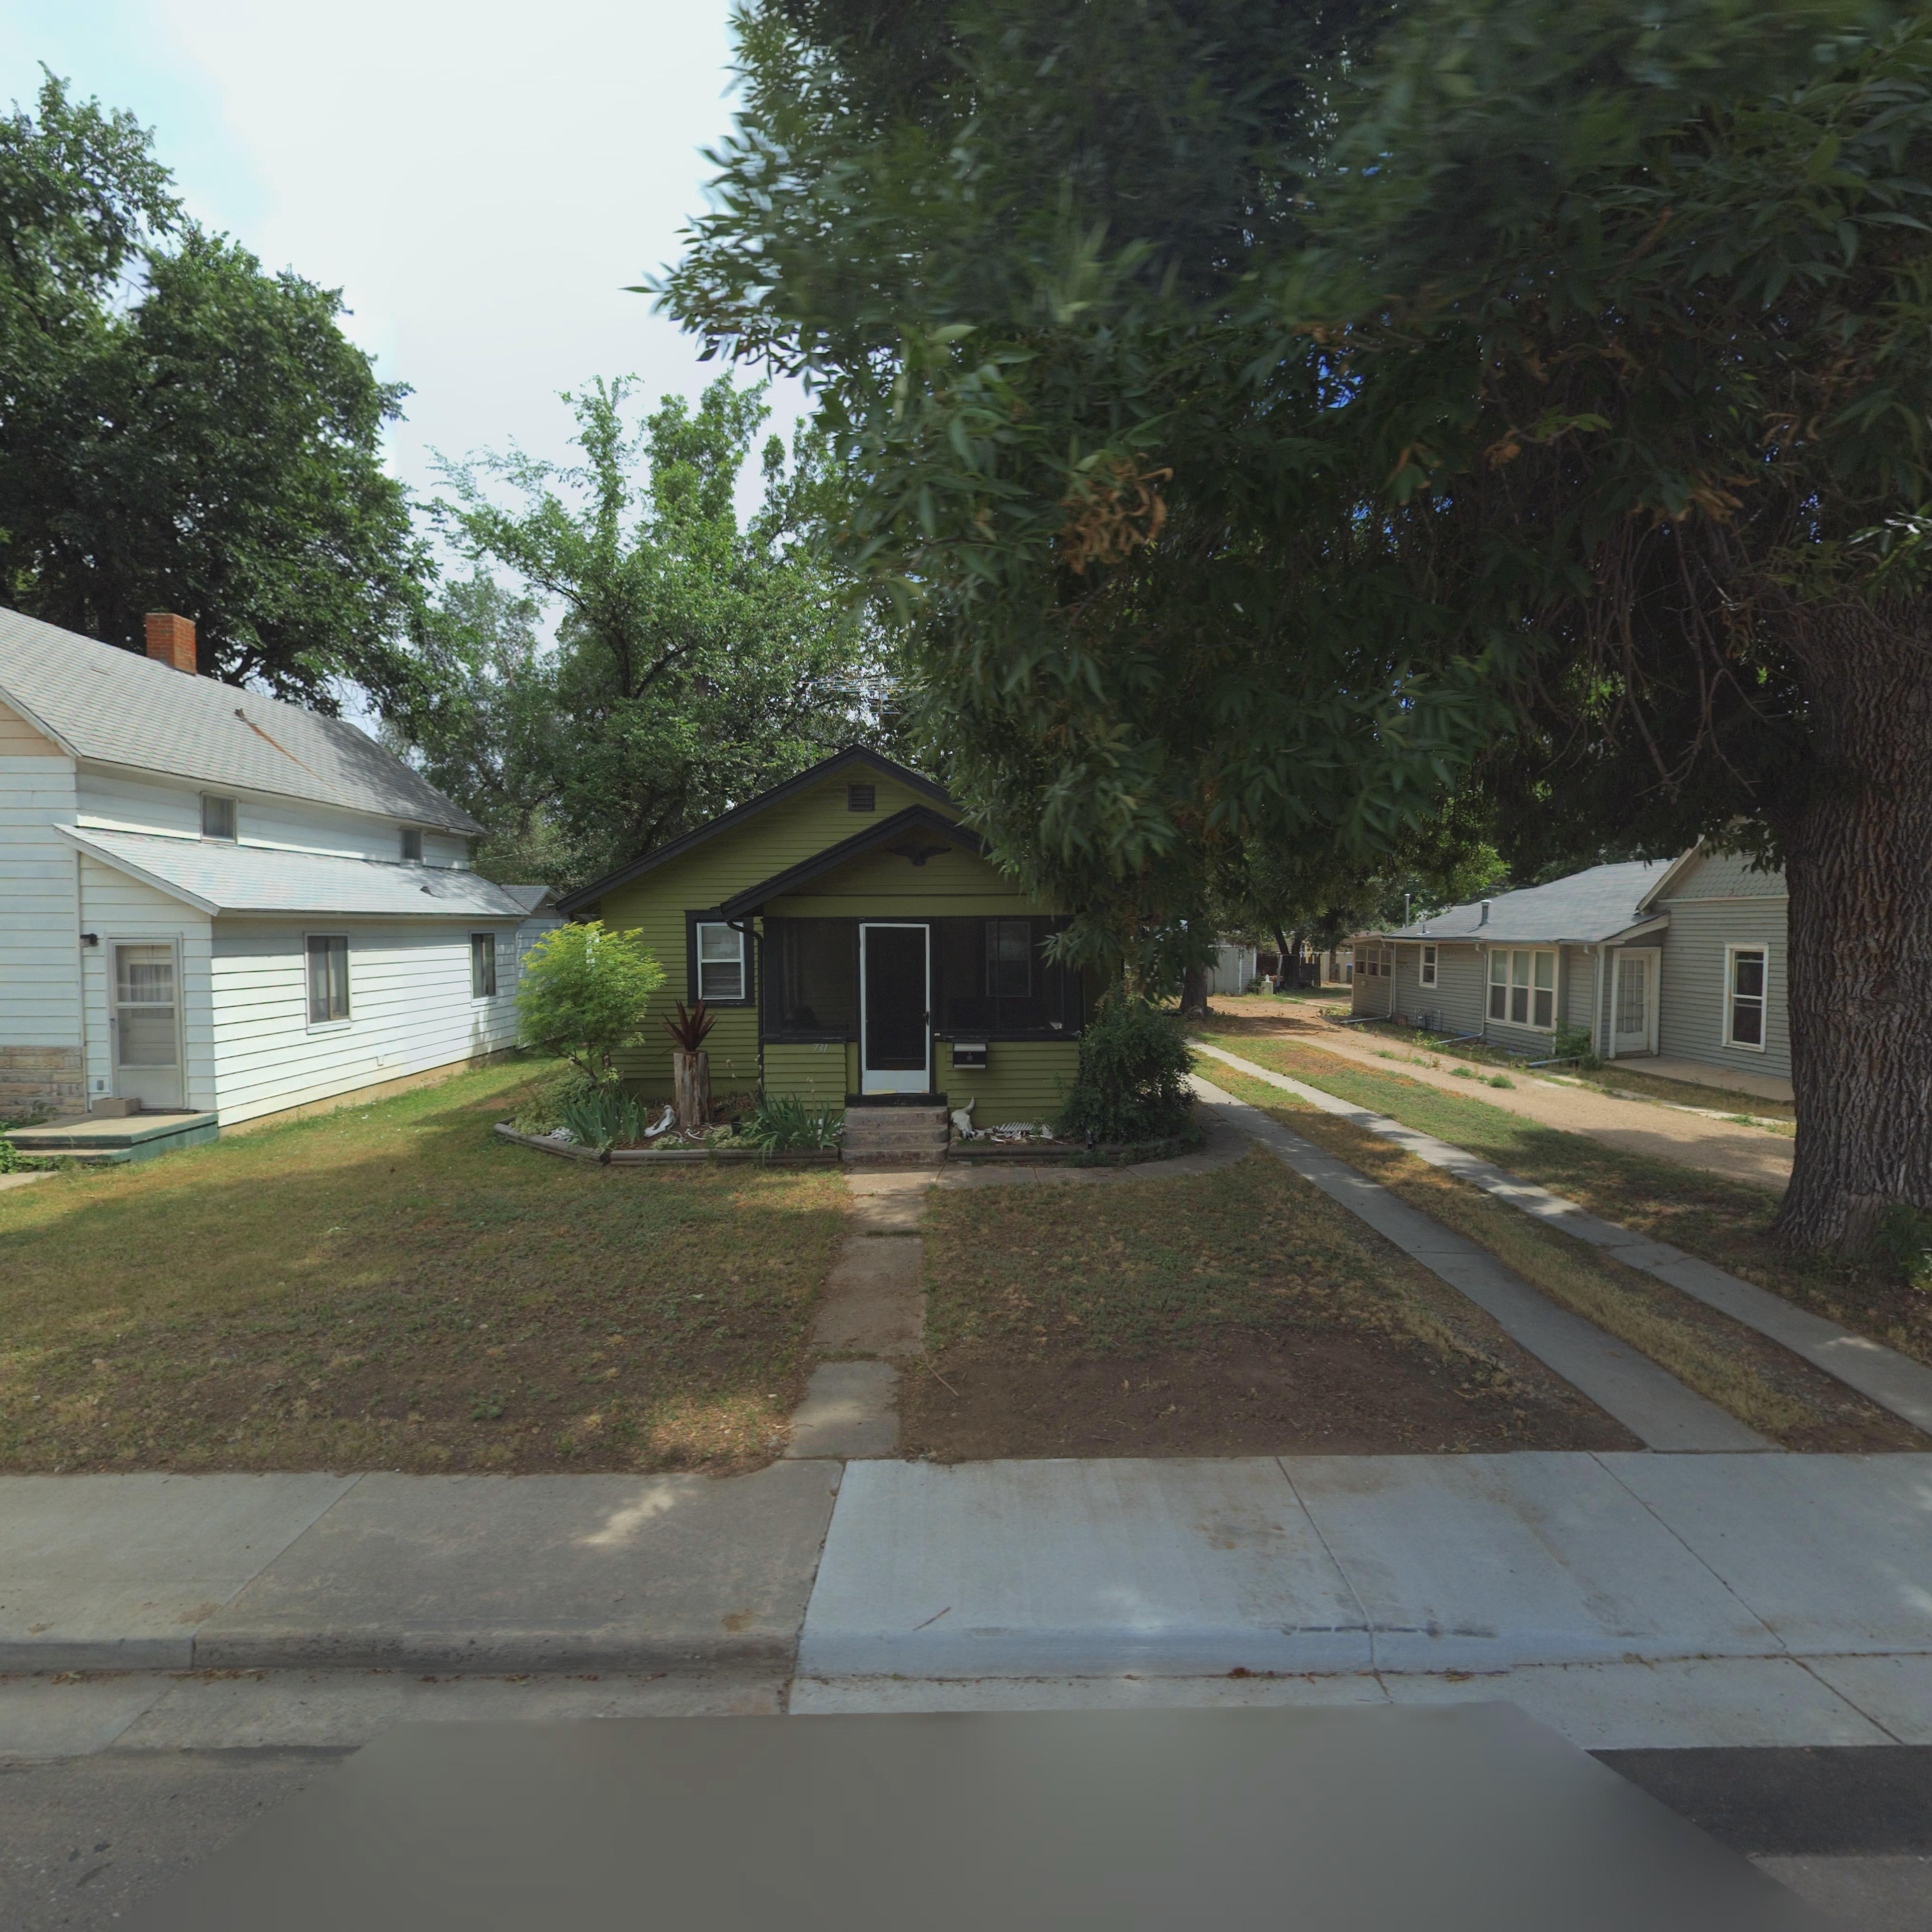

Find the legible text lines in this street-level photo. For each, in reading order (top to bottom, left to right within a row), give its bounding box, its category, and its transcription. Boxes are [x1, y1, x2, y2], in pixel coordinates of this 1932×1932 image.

[812, 1043, 828, 1053] StreetNumber: 731